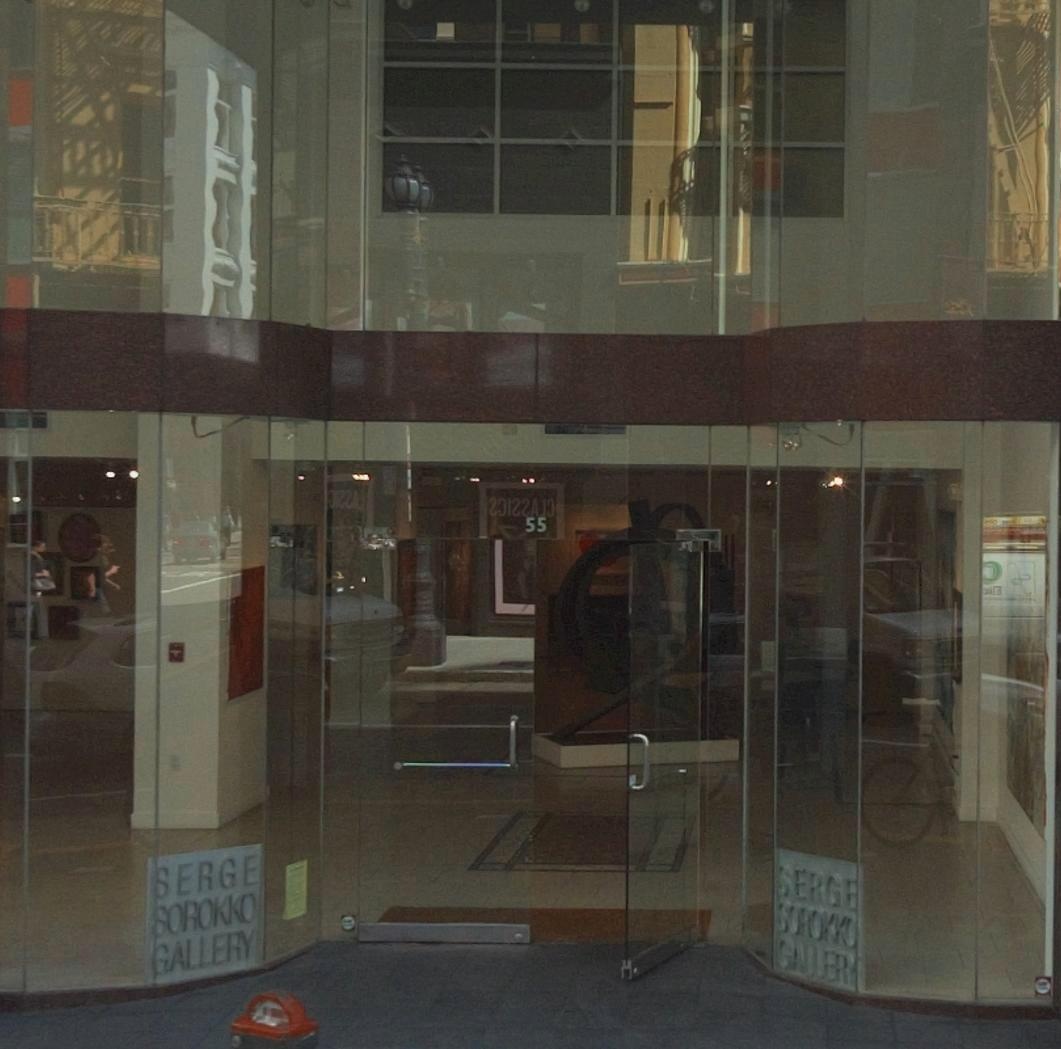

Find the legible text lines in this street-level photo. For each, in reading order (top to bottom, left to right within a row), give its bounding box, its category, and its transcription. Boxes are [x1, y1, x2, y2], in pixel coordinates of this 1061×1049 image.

[524, 516, 548, 534] StreetNumber: 55
[154, 853, 261, 901] BusinessName: SERGE
[776, 863, 860, 914] BusinessName: SERGE
[152, 889, 257, 939] BusinessName: SOROKKO
[775, 900, 858, 950] BusinessName: GOROKKO
[152, 926, 258, 977] BusinessName: GALLERY
[773, 933, 865, 988] BusinessName: GALLERY